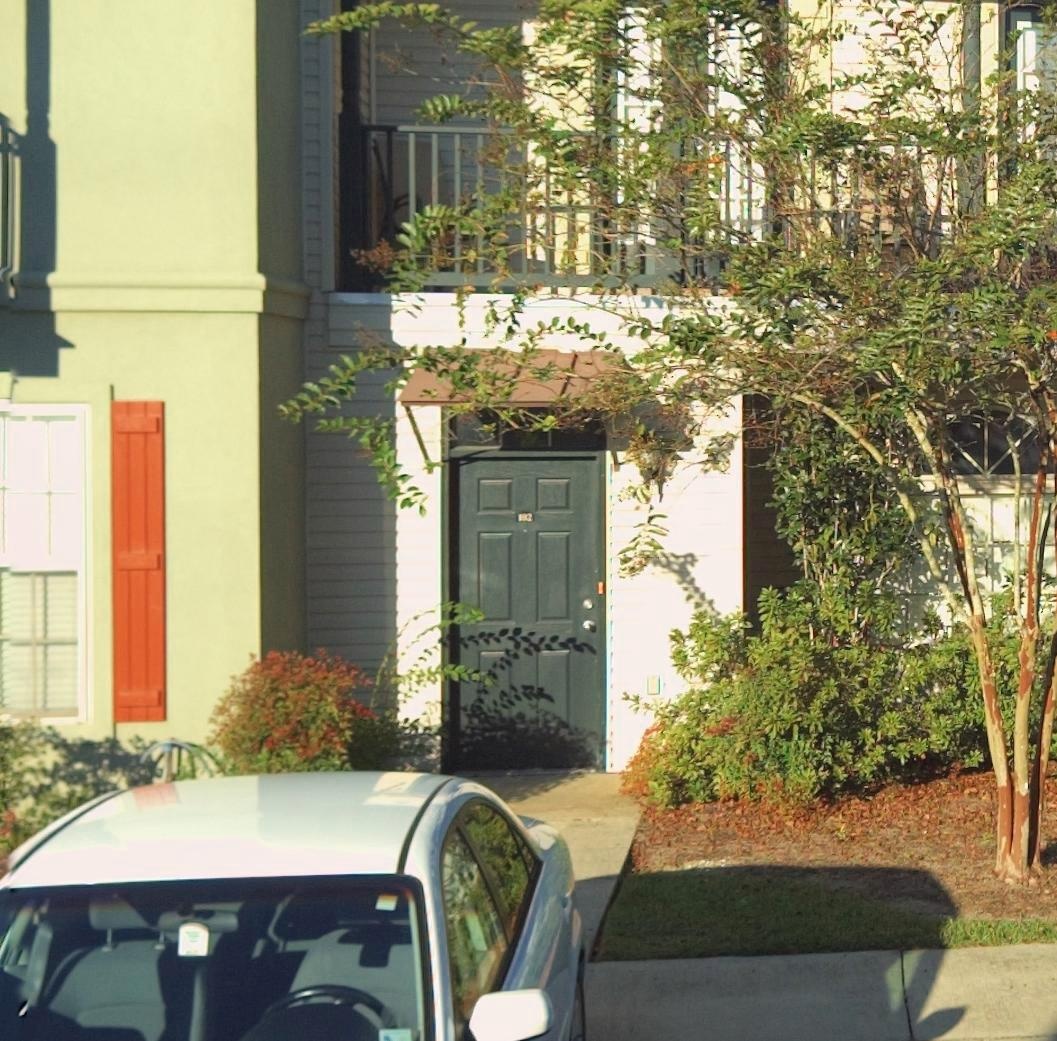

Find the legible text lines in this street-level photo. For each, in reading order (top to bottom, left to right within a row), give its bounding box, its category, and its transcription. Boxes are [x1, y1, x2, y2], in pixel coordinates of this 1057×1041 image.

[517, 511, 534, 524] StreetNumber: 1*2